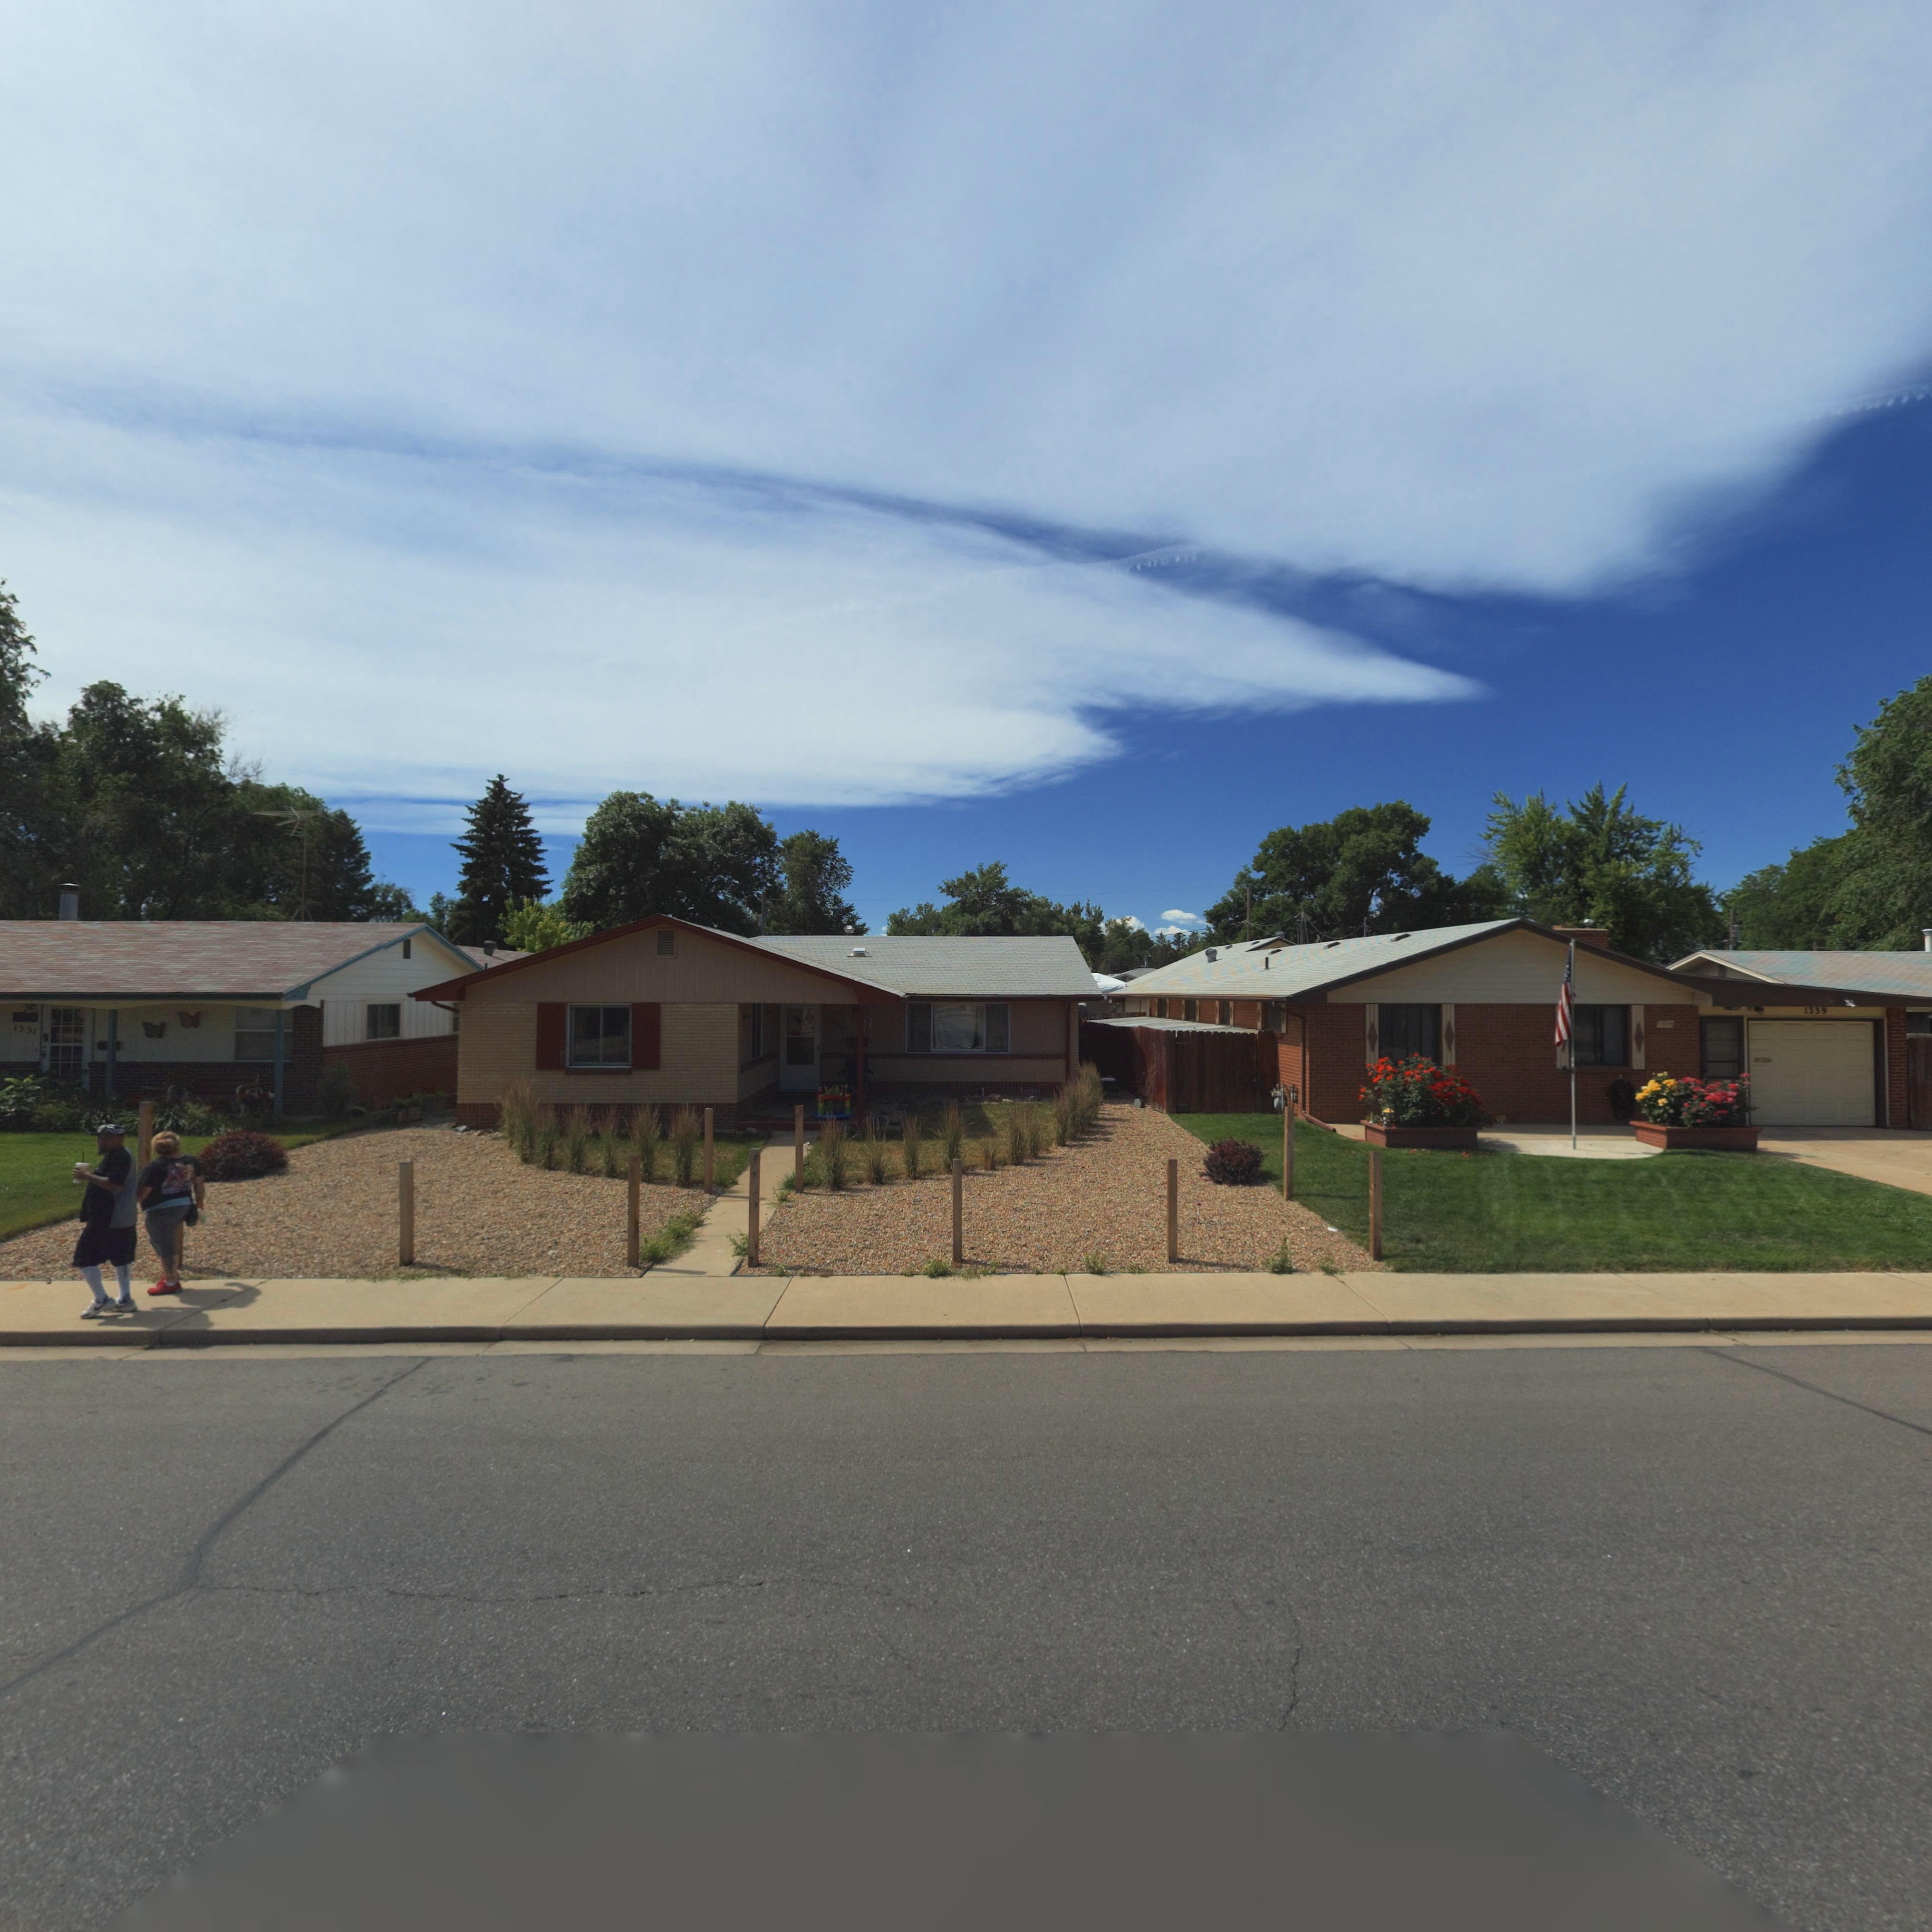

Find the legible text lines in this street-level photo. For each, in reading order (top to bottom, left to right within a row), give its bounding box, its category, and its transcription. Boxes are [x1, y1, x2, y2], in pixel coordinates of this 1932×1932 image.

[1804, 1005, 1827, 1014] StreetNumber: 1339
[13, 1023, 38, 1036] StreetNumber: 1331
[827, 1014, 846, 1032] StreetNumber: 1335
[1658, 1021, 1674, 1027] StreetNumber: 1339